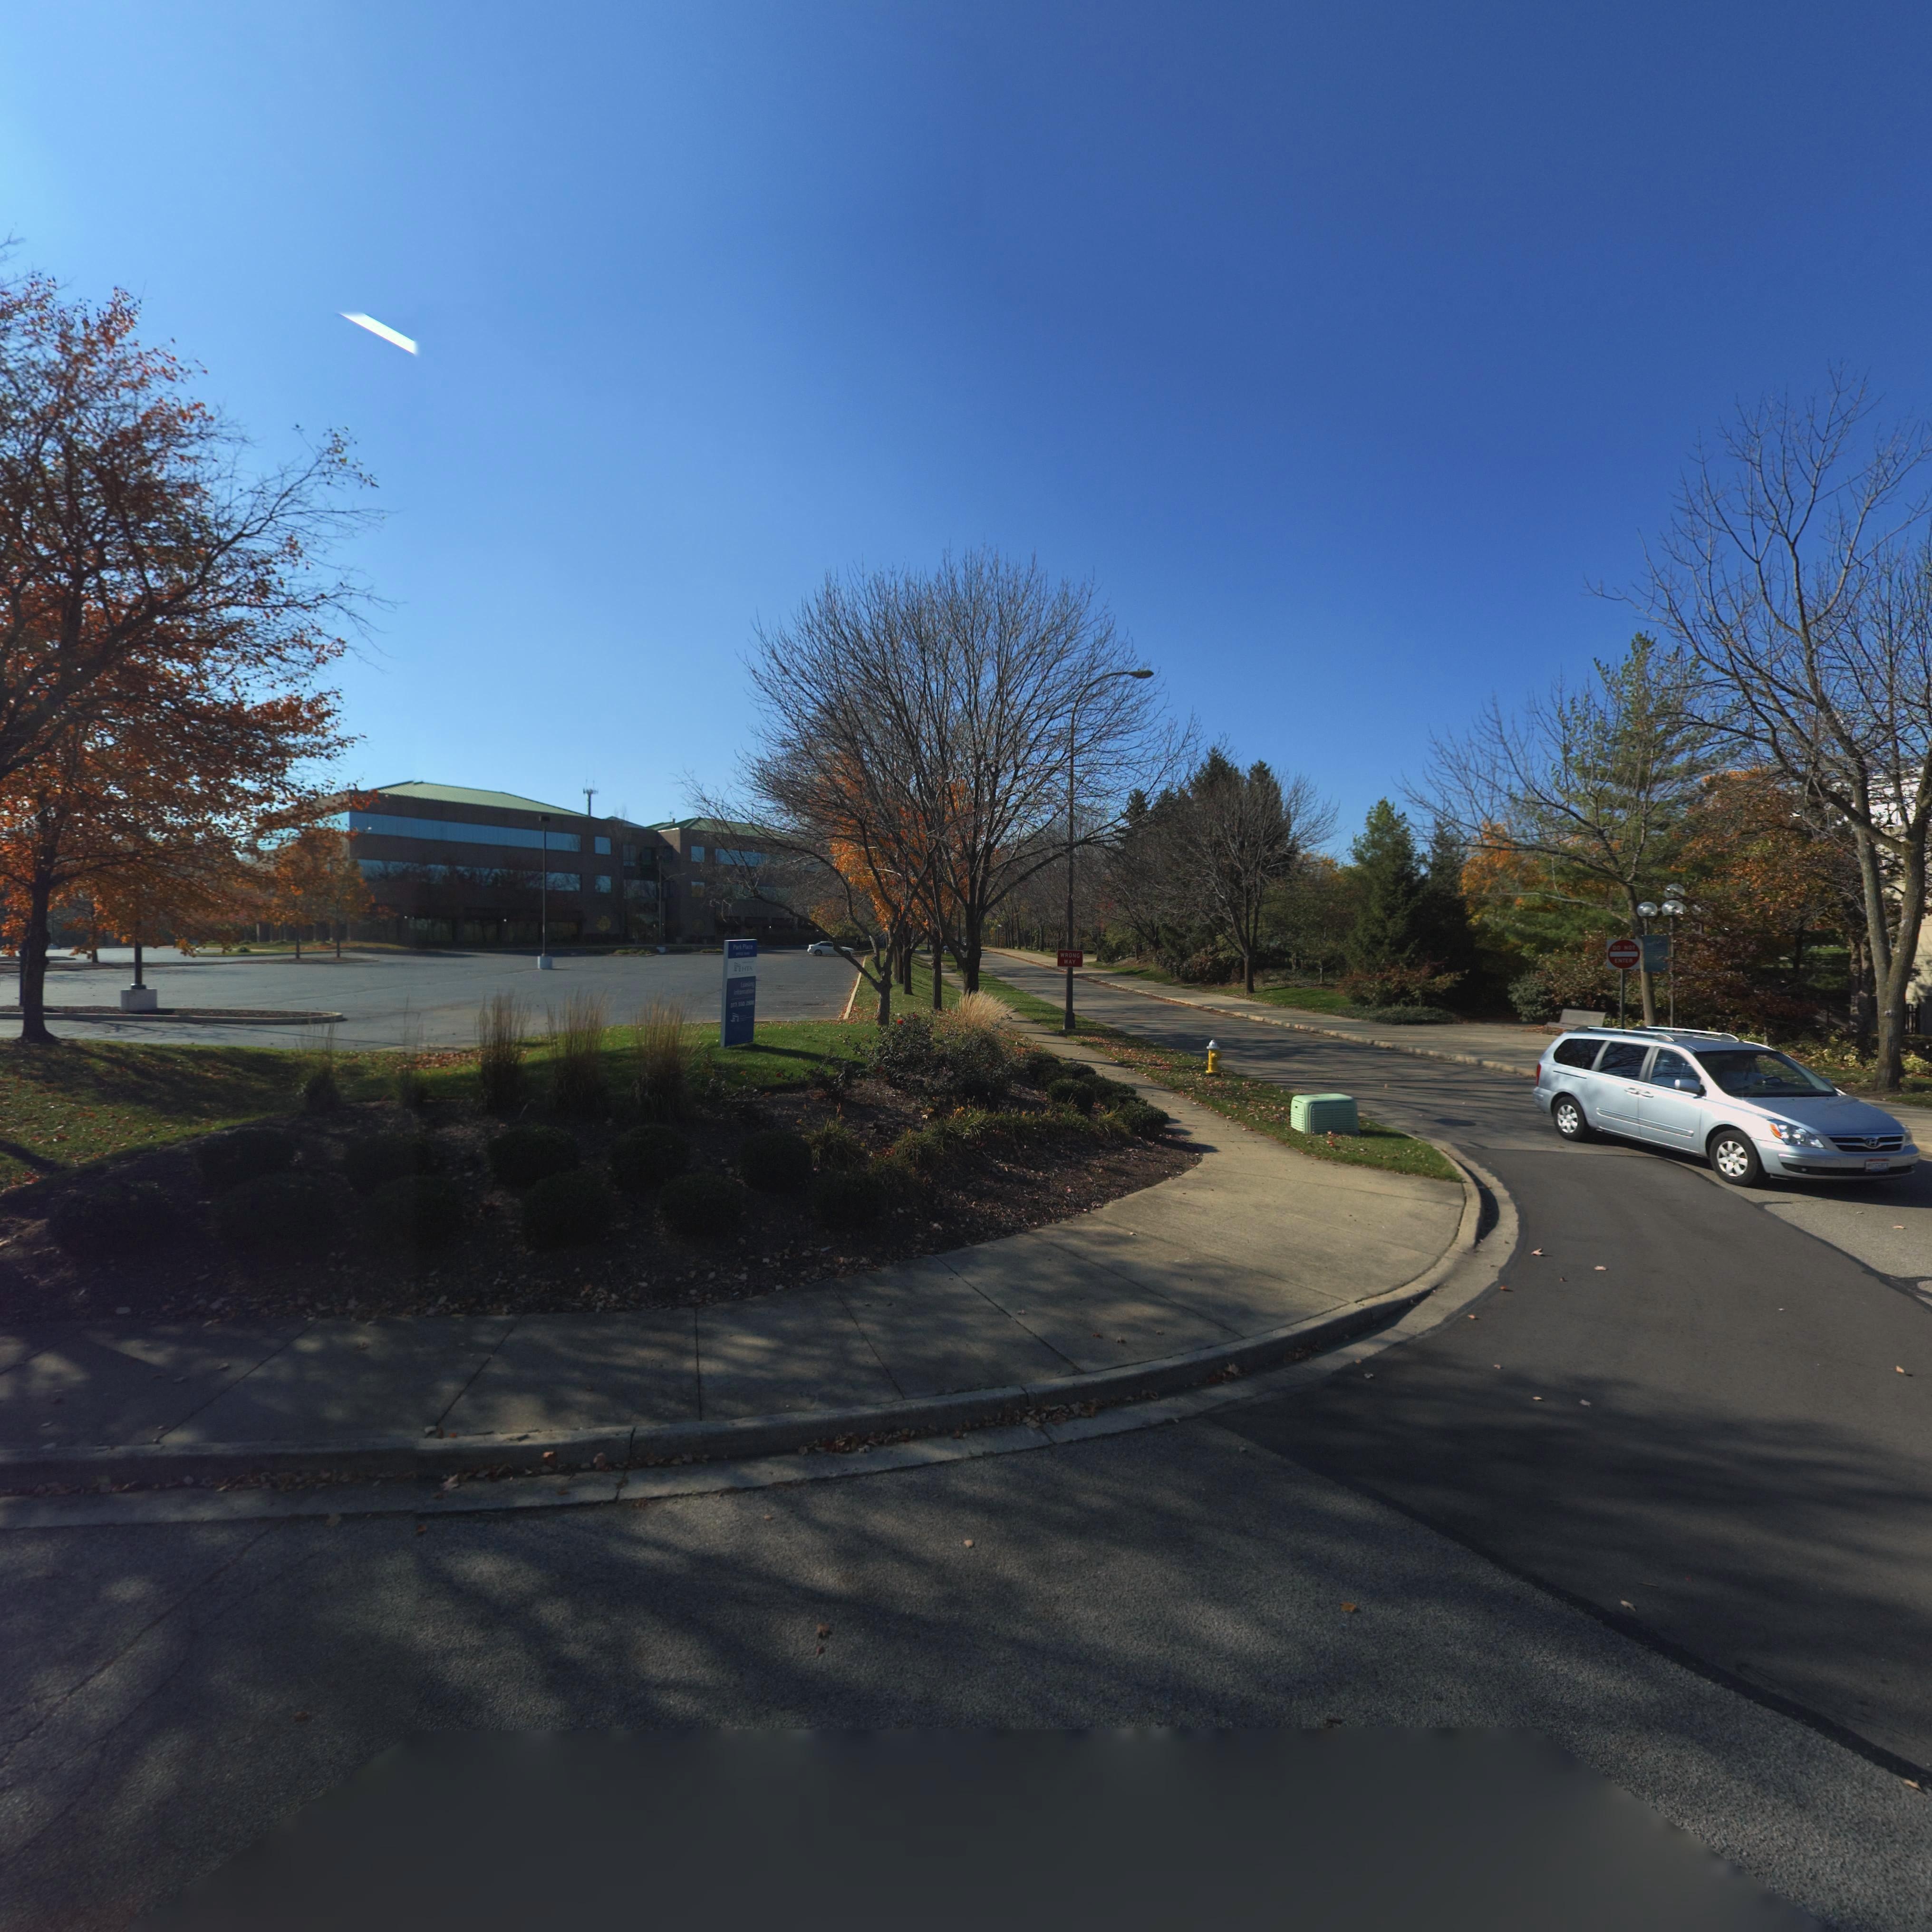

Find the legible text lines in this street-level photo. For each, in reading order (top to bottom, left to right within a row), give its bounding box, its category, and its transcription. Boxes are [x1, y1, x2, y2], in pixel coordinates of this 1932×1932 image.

[1612, 945, 1635, 950] None: DO NOT
[1060, 952, 1080, 958] None: WRONG
[1064, 958, 1076, 965] None: WAY
[1614, 957, 1633, 963] None: ENTER